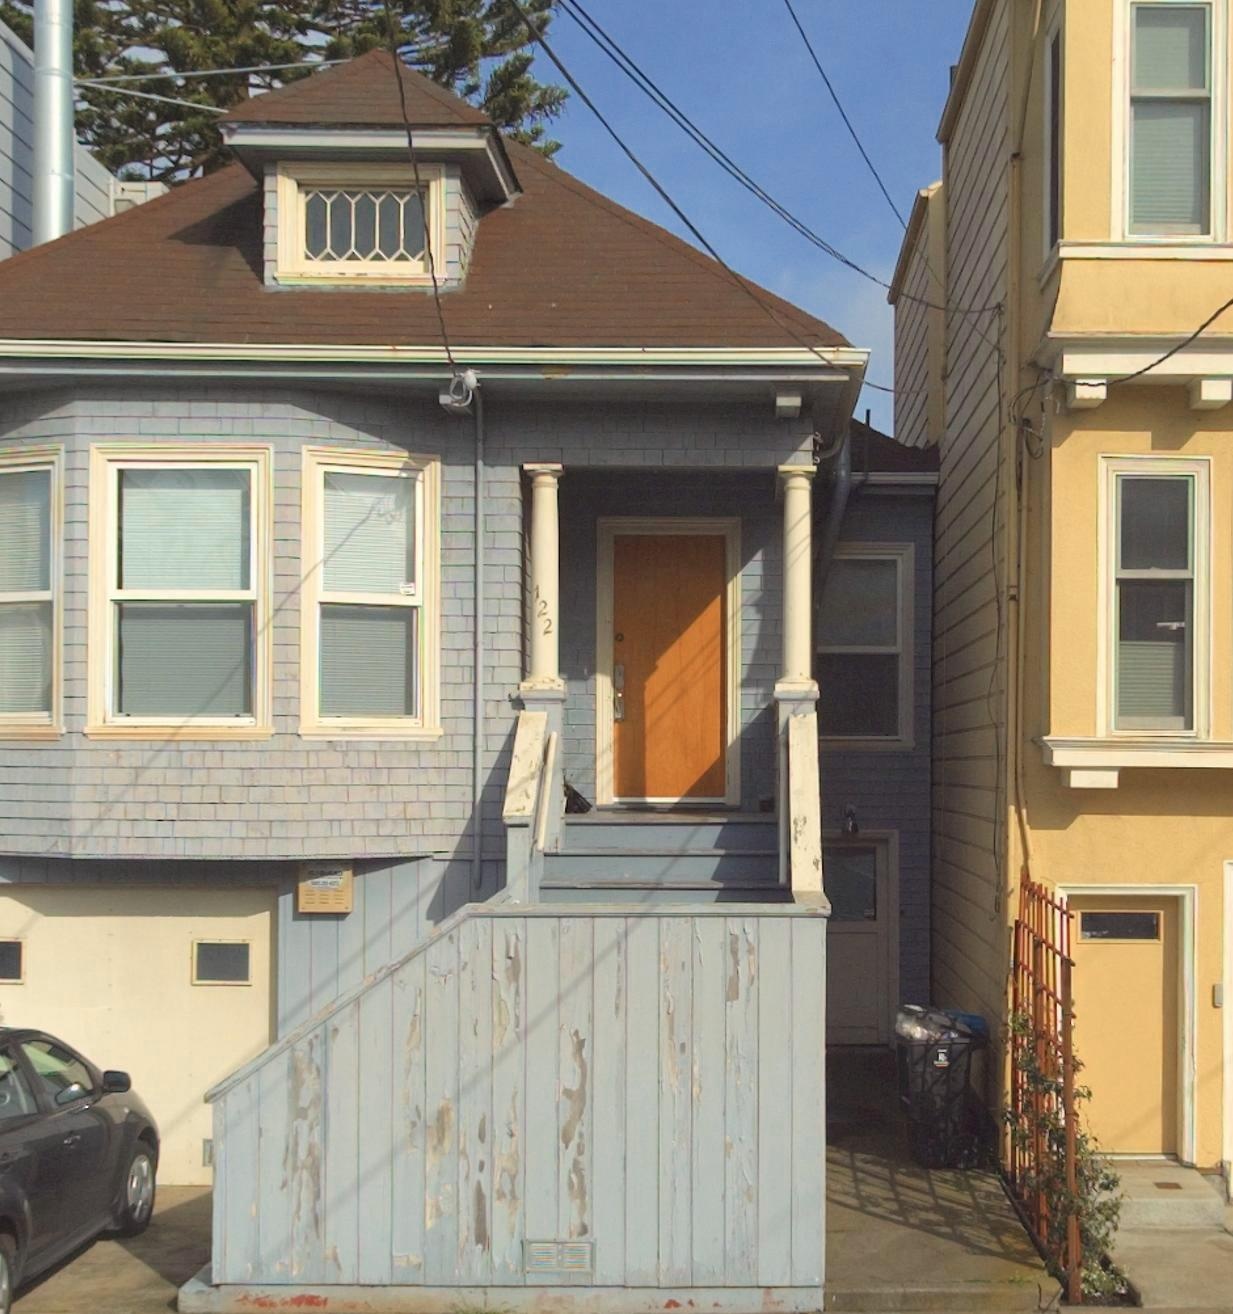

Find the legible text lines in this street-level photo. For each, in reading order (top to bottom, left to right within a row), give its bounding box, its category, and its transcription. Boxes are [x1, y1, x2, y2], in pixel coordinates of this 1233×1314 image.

[531, 583, 554, 638] StreetNumber: 122